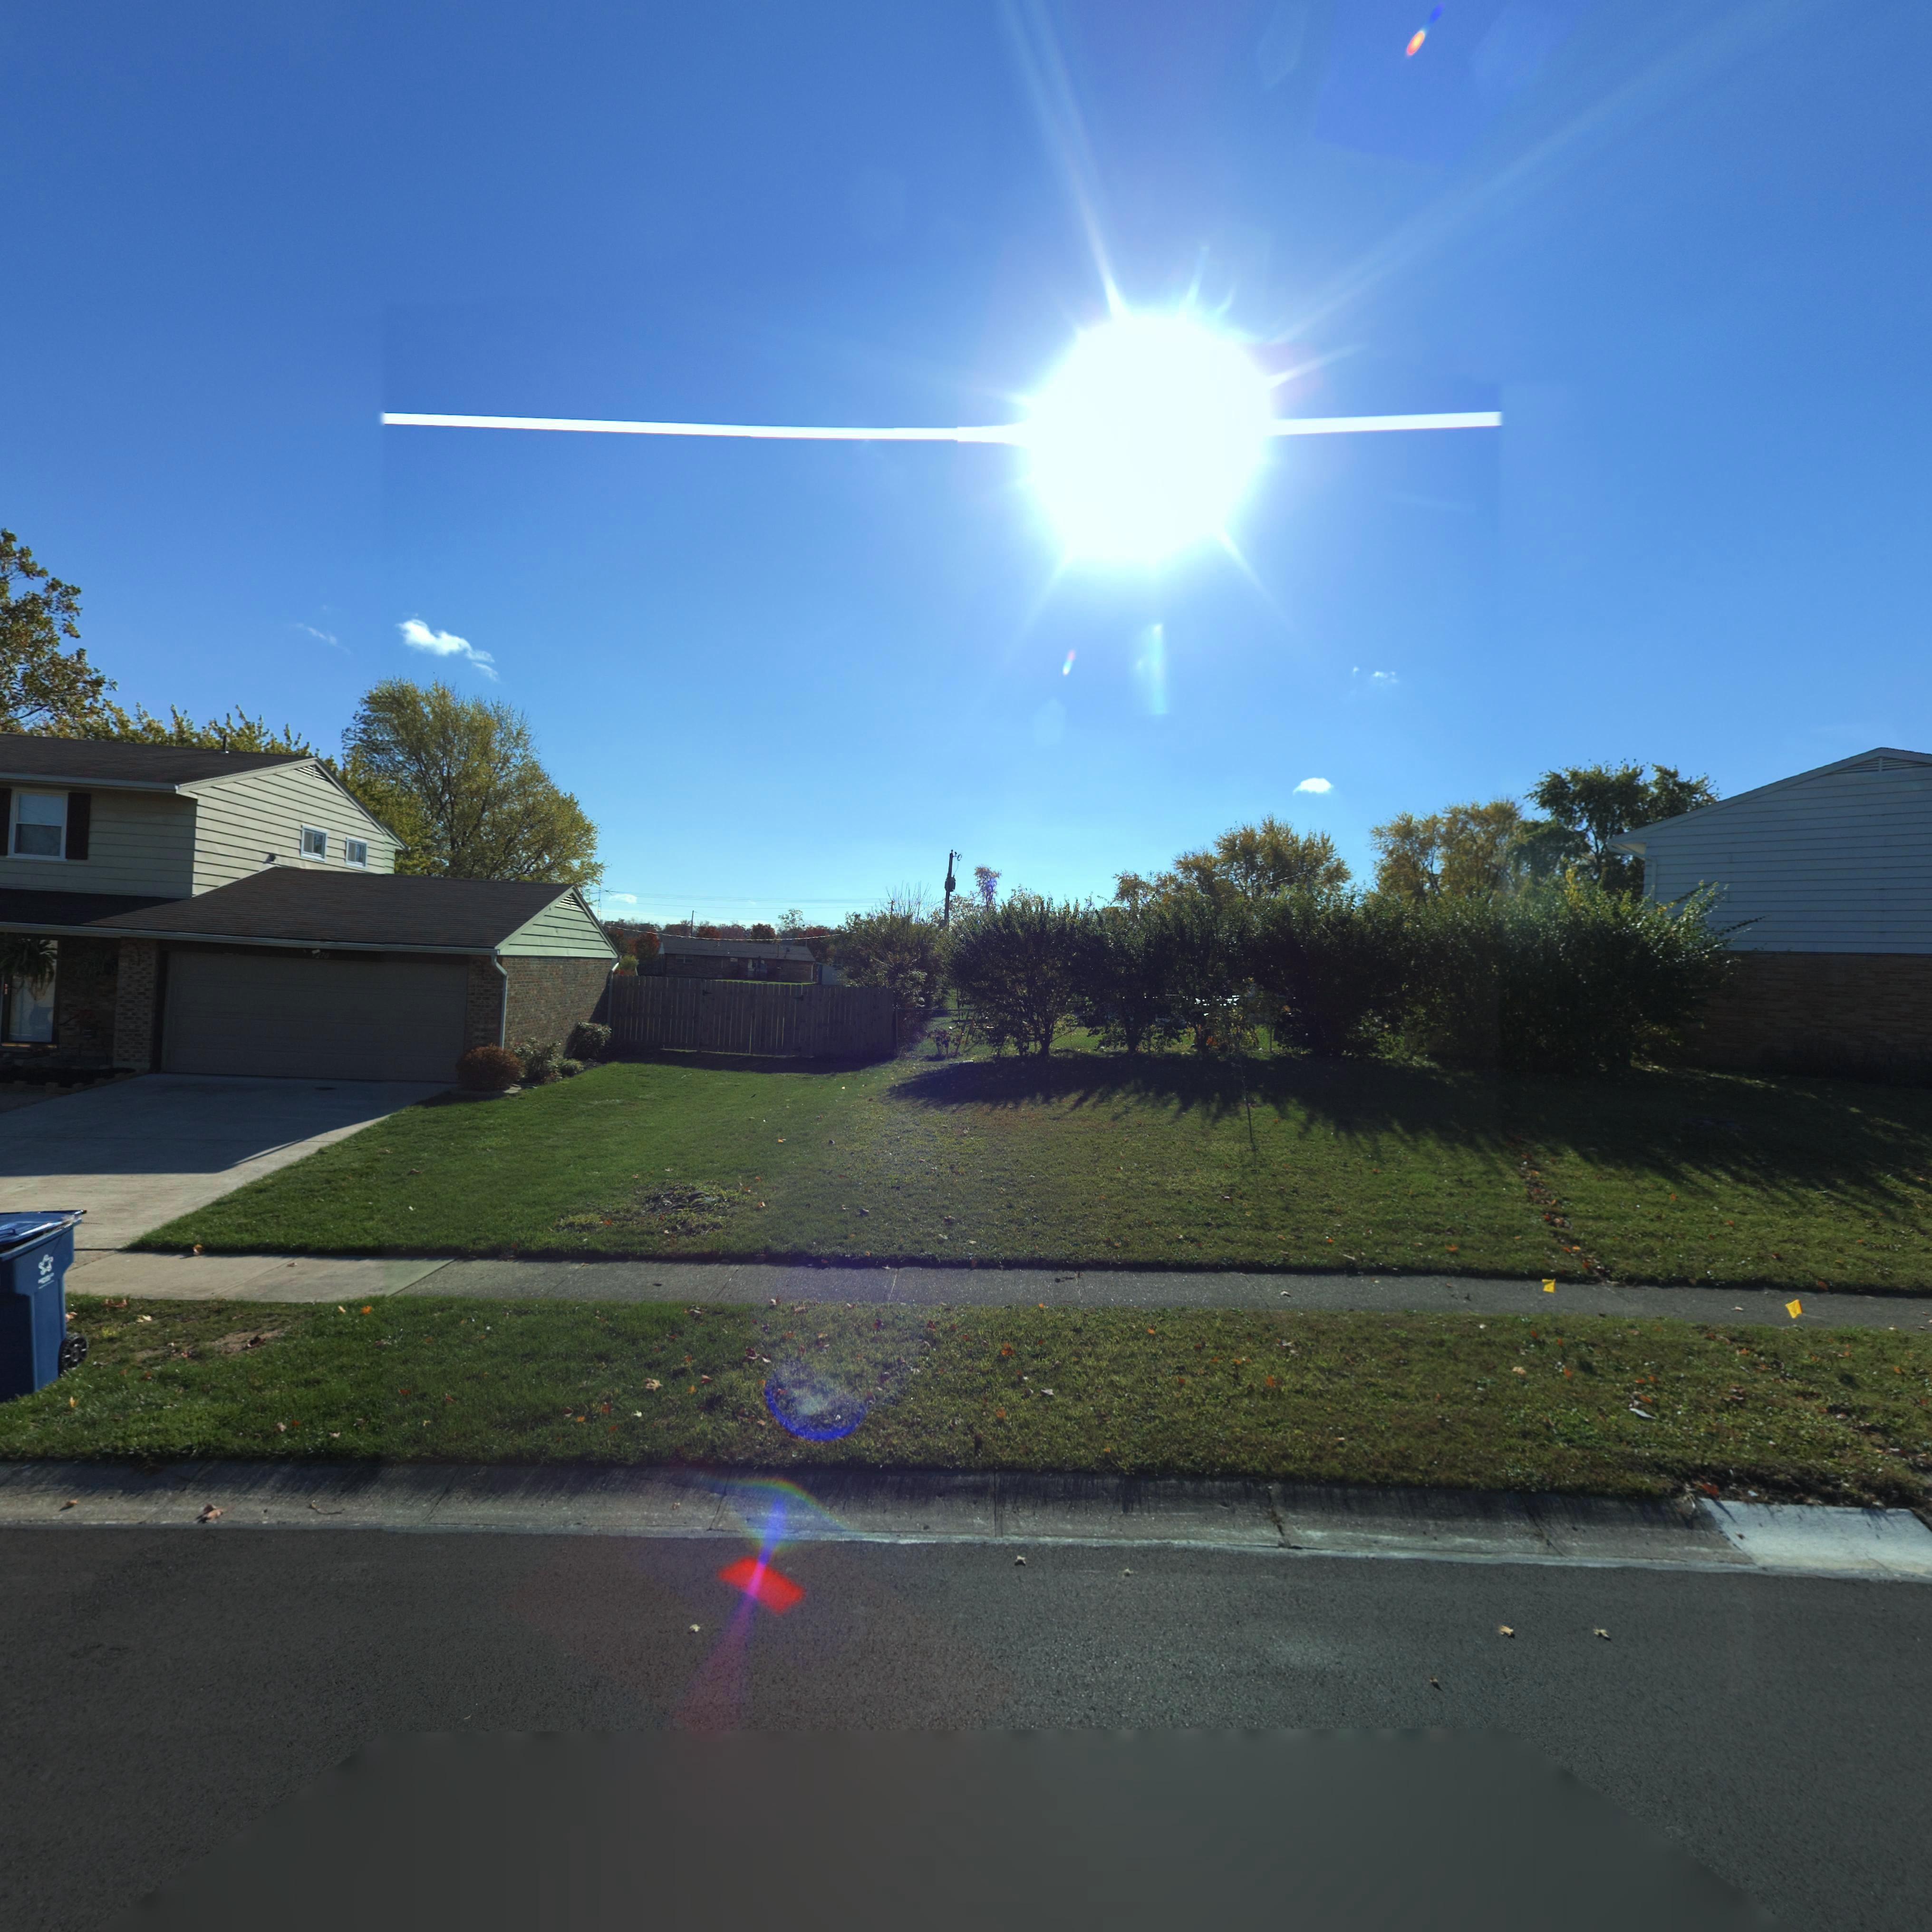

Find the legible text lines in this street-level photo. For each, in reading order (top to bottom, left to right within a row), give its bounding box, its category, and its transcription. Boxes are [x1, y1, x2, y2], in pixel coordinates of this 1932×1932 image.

[319, 951, 331, 960] StreetNumber: 70